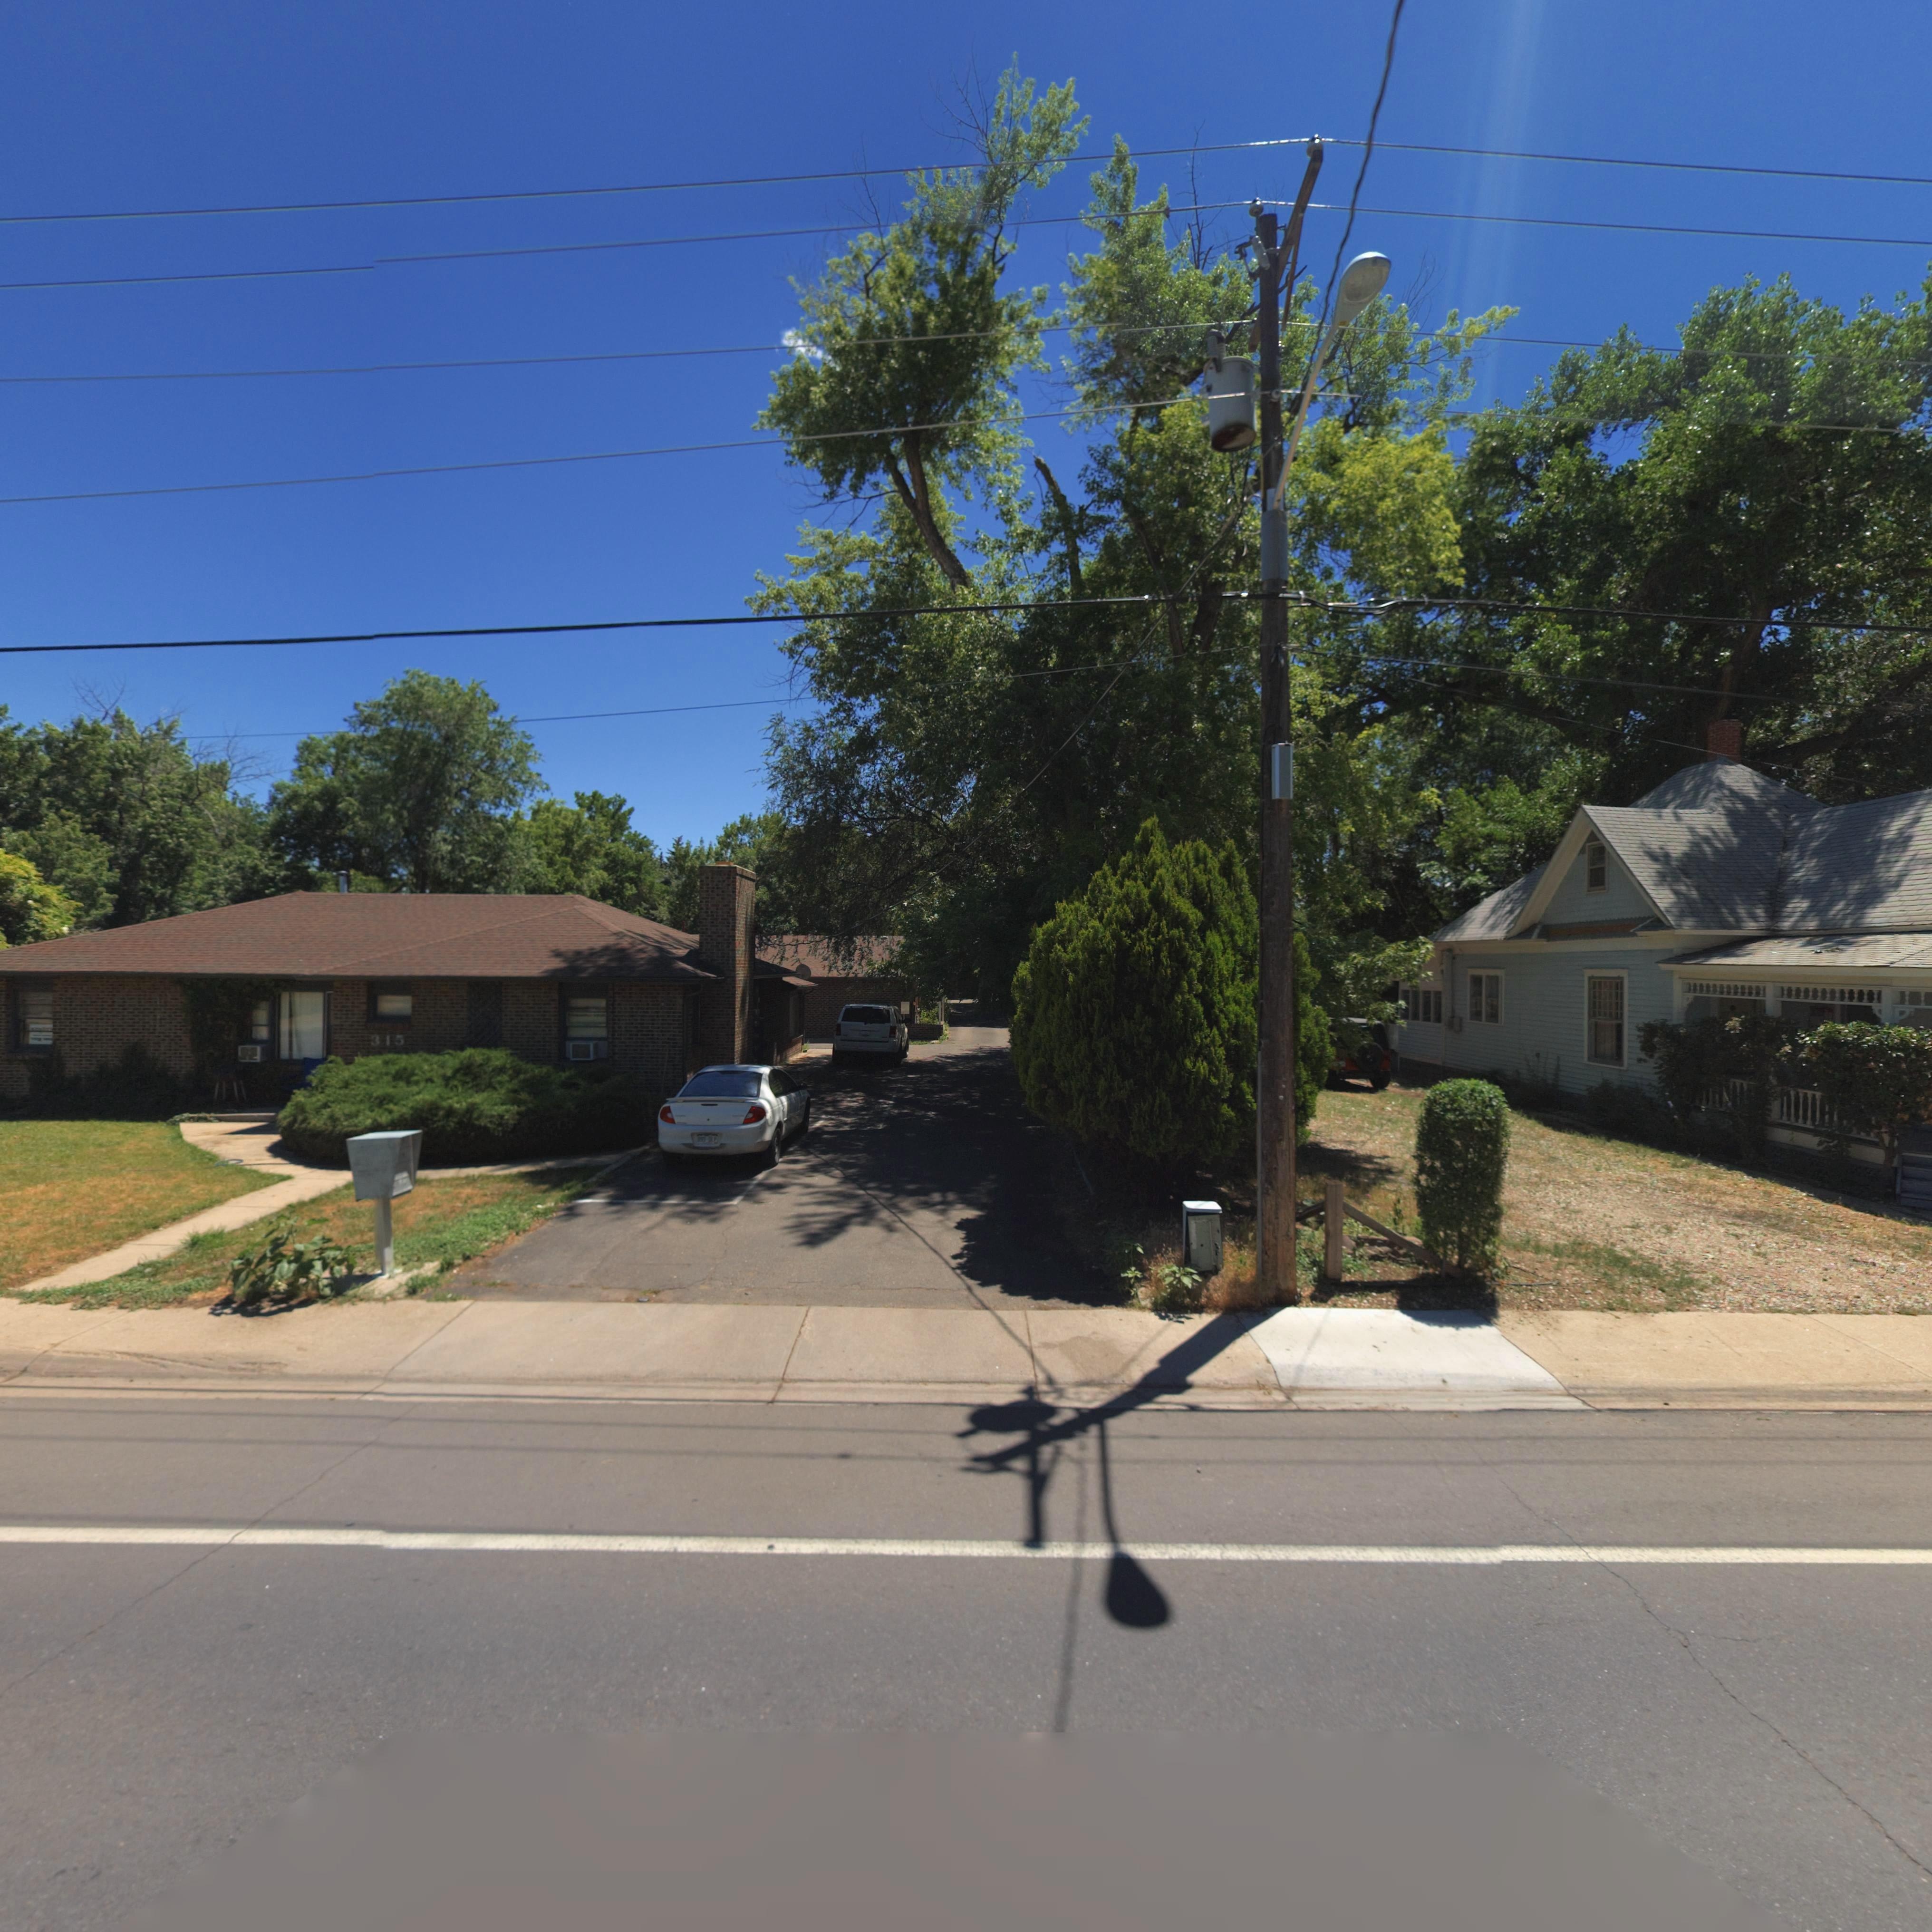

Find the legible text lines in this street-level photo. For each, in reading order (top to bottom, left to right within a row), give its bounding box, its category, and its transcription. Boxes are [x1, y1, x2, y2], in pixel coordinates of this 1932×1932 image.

[370, 1034, 404, 1046] StreetNumber: 315